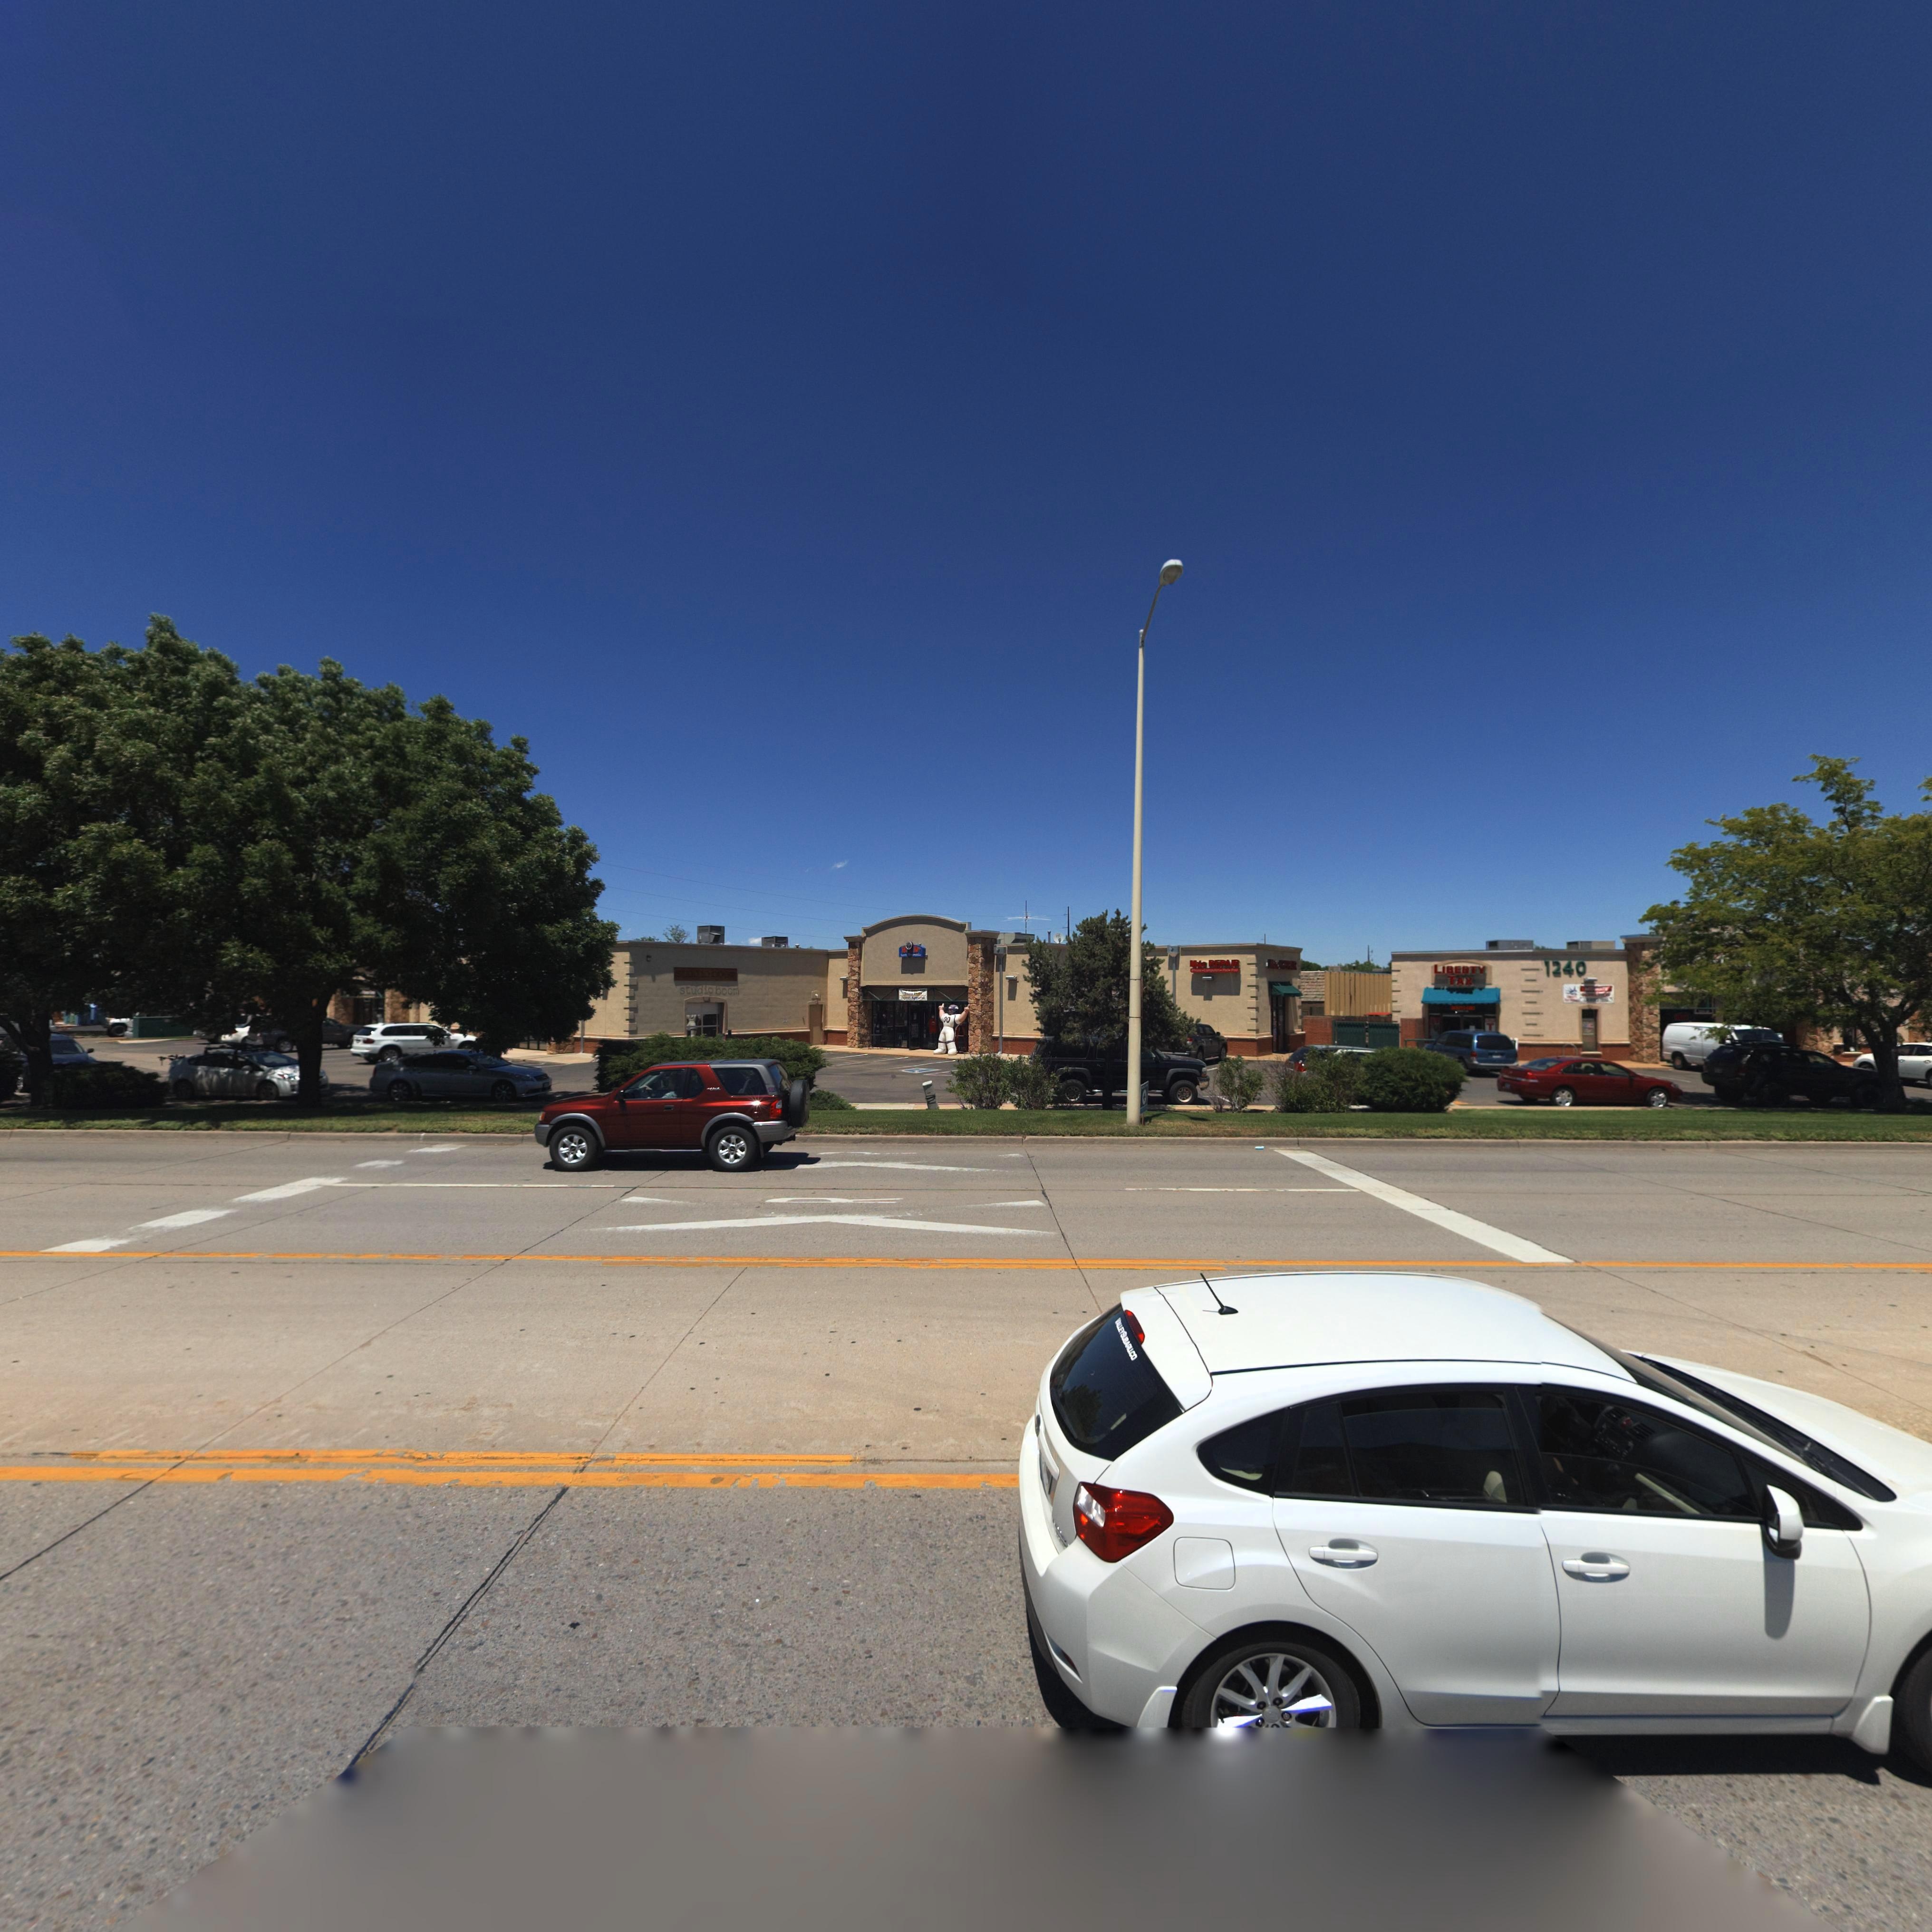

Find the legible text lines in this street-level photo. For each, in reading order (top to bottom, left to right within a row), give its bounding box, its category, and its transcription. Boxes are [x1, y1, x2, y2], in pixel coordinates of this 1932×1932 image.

[901, 946, 919, 953] BusinessName: R * D
[674, 967, 738, 978] BusinessName: studio boom
[1189, 959, 1240, 967] BusinessName: Mac REPAIR
[1268, 958, 1297, 970] None: ****R
[1433, 963, 1487, 975] BusinessName: LIBERTY
[1544, 959, 1586, 975] StreetNumber: 1240
[1447, 975, 1473, 985] BusinessName: TAX
[679, 984, 740, 996] BusinessName: studio boom